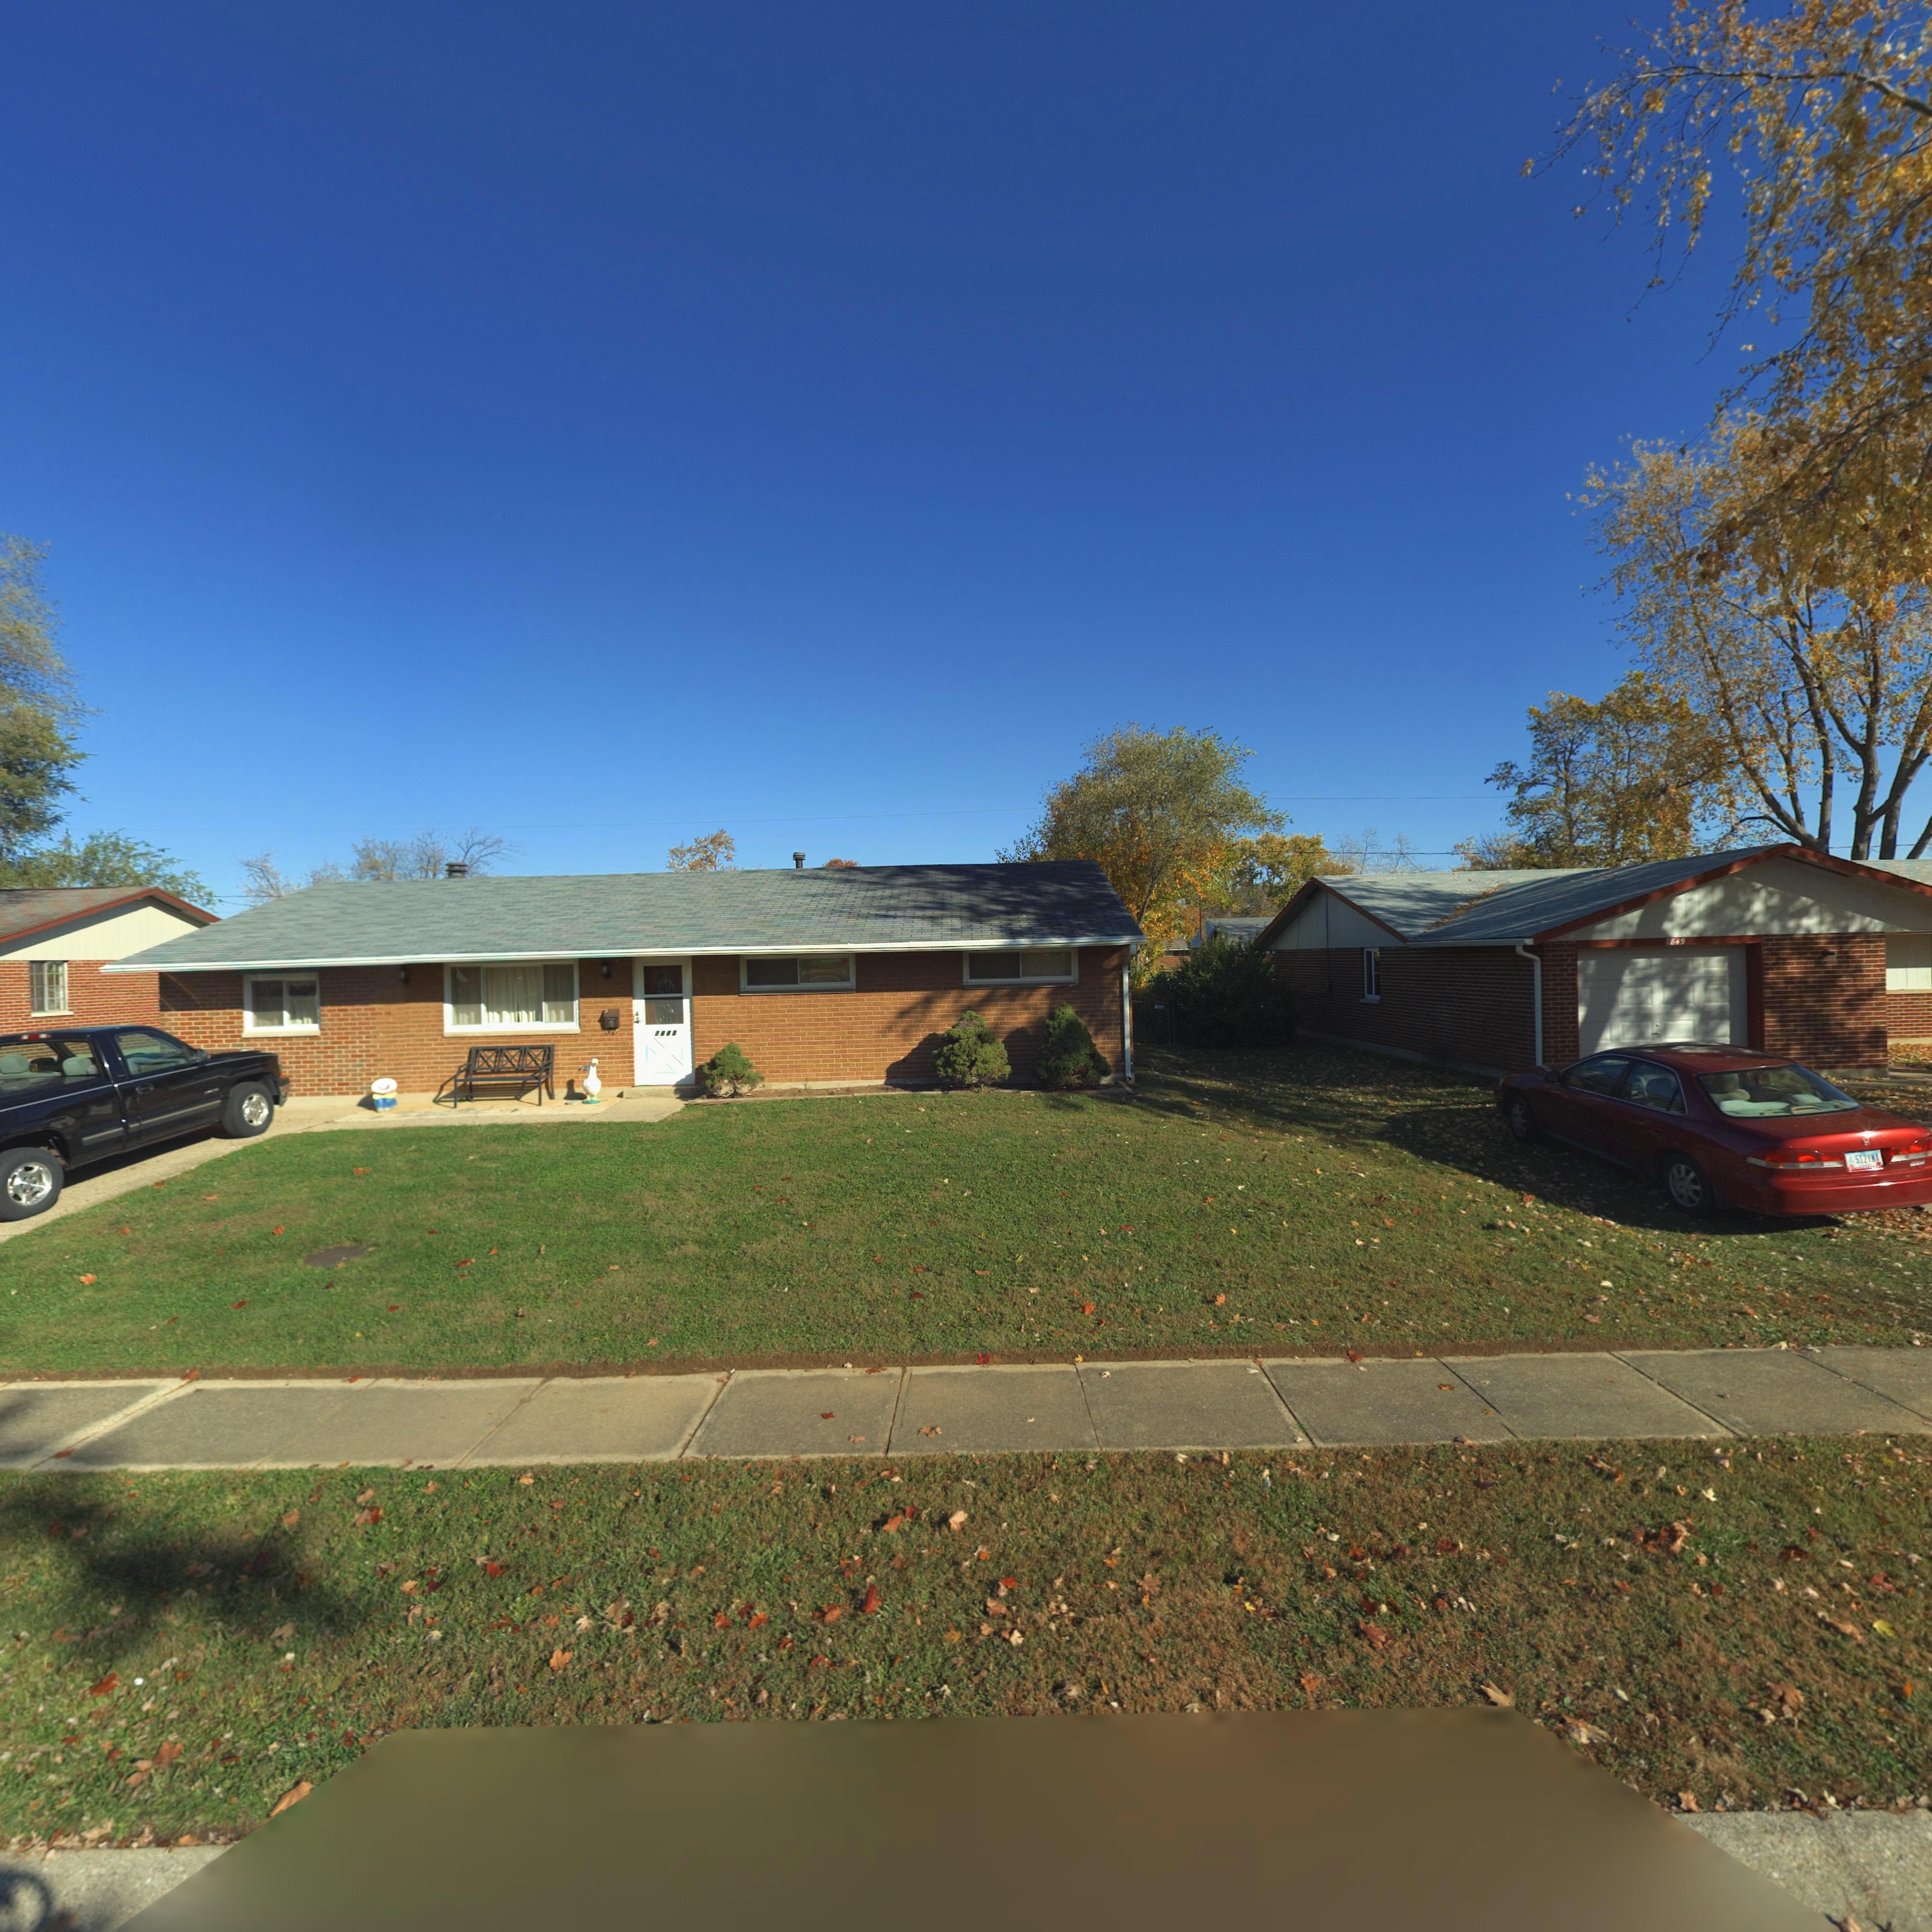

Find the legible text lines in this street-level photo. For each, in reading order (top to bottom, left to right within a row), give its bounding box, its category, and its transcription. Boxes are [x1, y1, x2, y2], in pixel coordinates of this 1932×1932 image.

[1665, 937, 1687, 946] StreetNumber: 7849
[654, 1030, 677, 1036] StreetNumber: 7845